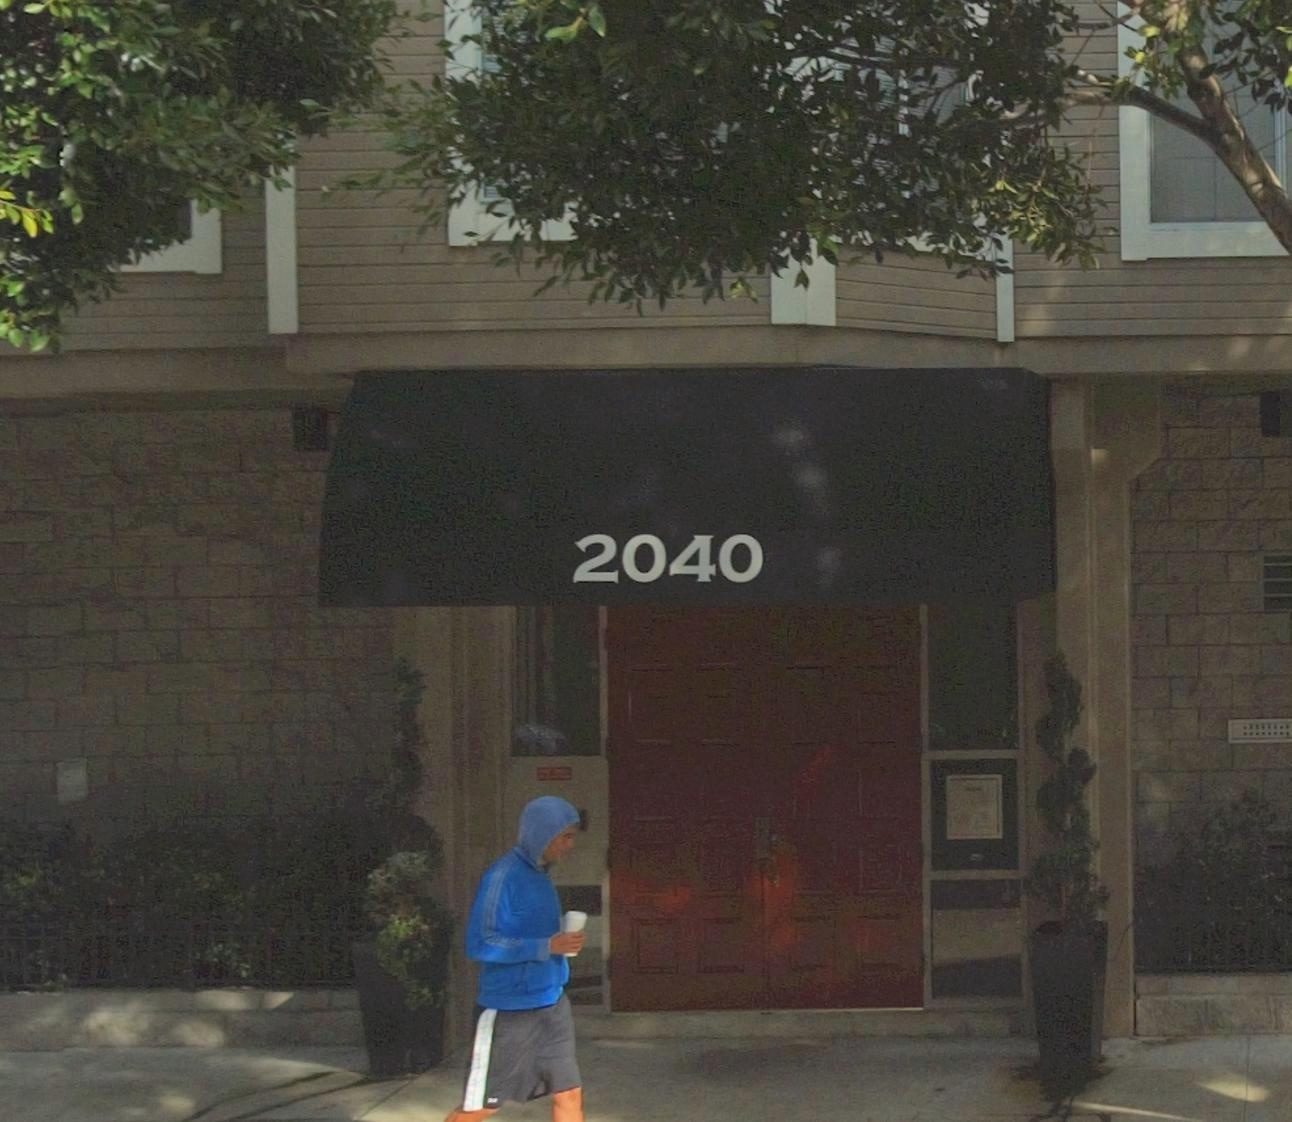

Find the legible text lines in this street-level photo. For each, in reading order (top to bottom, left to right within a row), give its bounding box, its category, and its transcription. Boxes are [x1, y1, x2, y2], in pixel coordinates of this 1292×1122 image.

[570, 530, 767, 586] StreetNumber: 2040